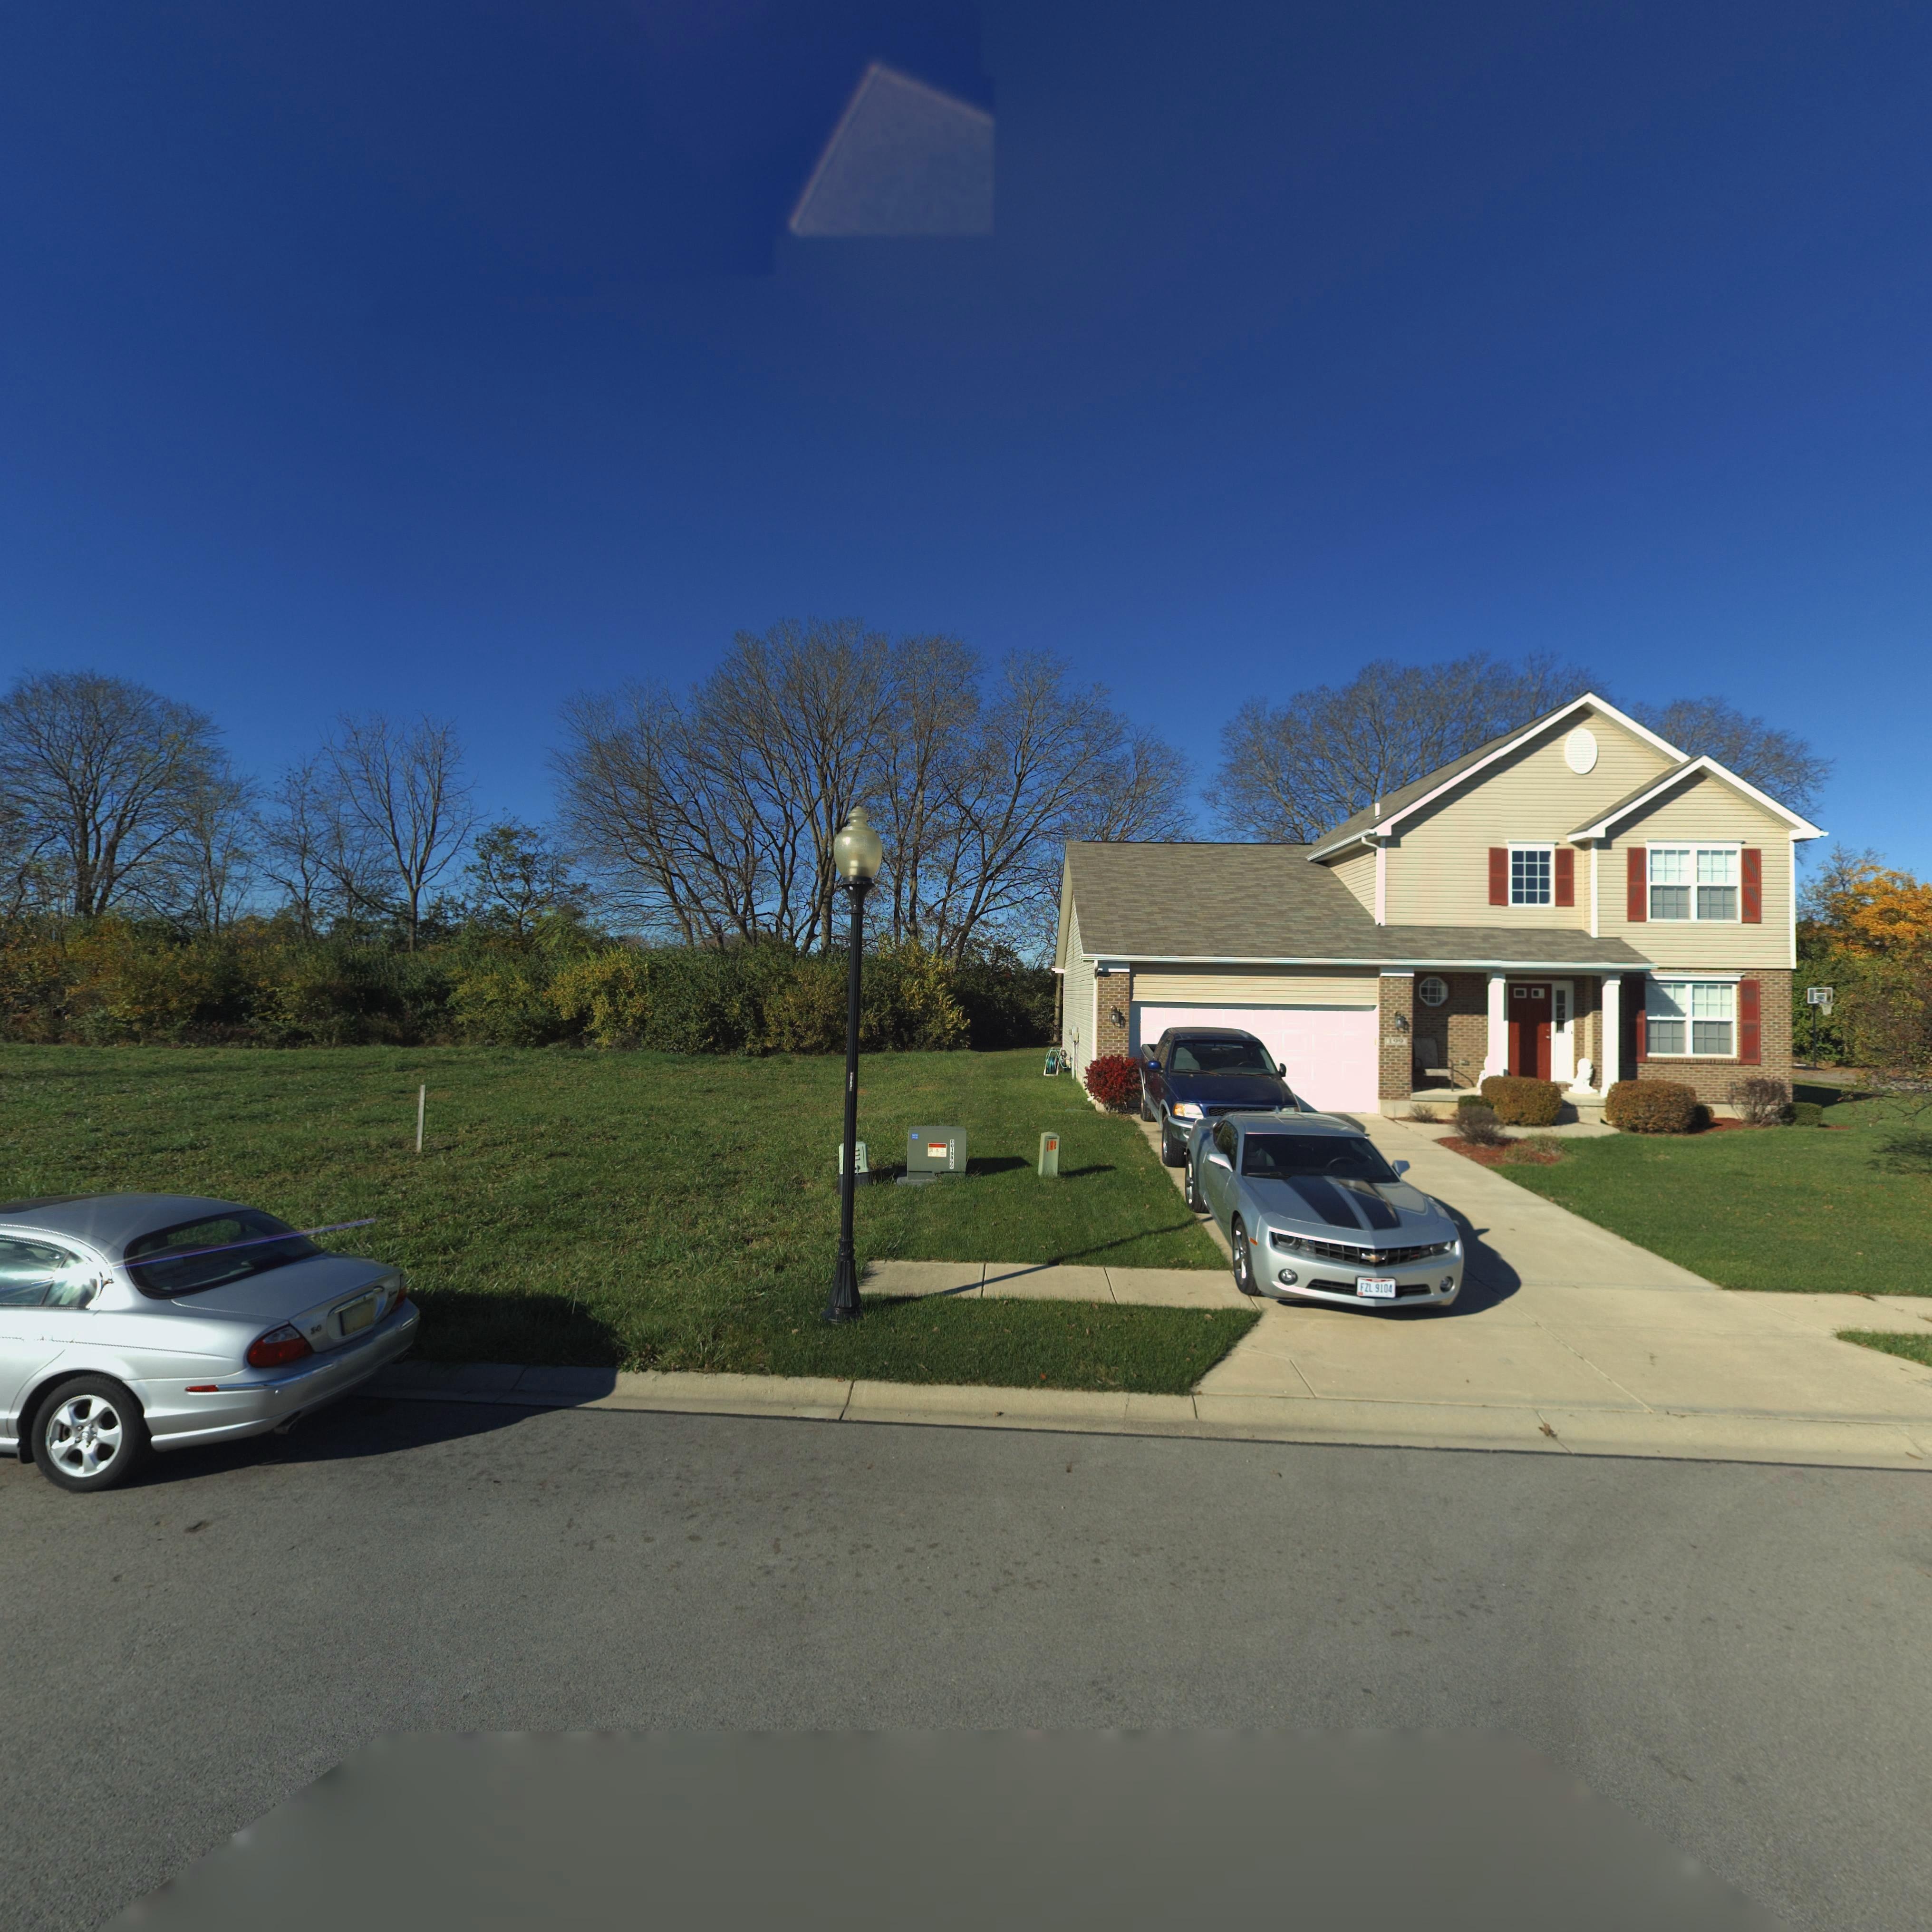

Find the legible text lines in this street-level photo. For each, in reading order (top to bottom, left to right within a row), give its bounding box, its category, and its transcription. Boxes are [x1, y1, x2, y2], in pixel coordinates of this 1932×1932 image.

[1389, 1038, 1403, 1044] StreetNumber: 199